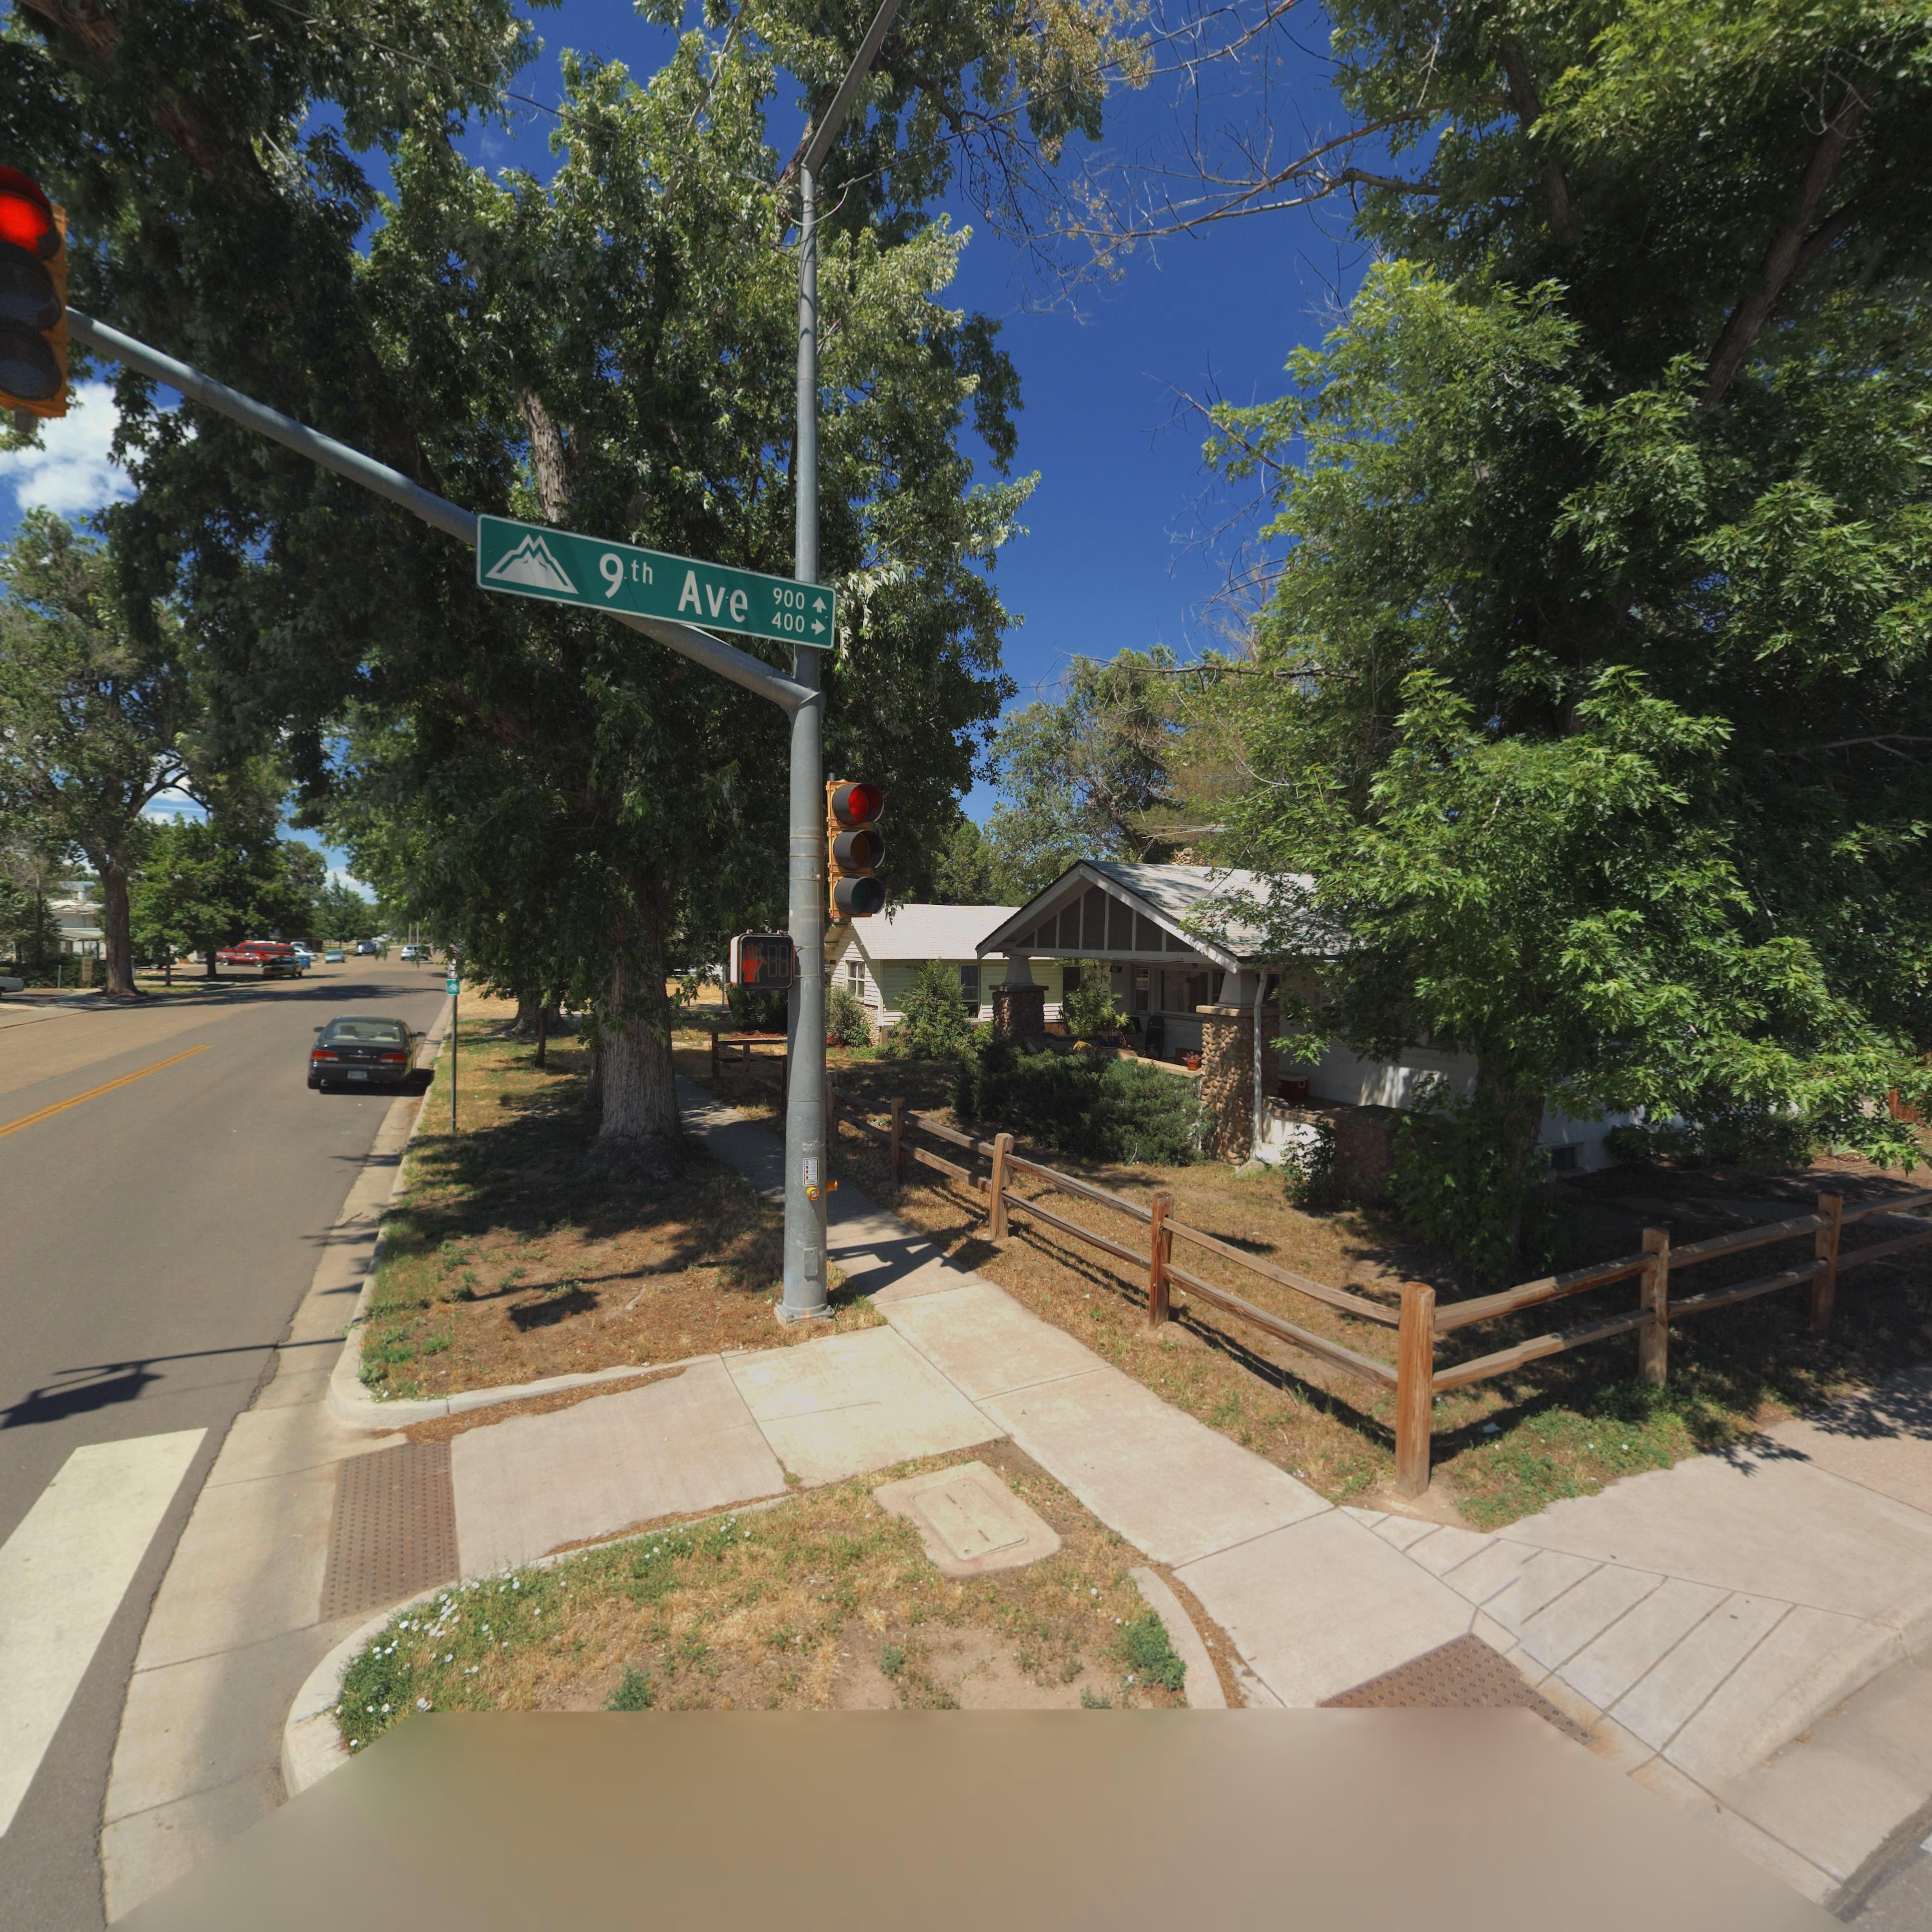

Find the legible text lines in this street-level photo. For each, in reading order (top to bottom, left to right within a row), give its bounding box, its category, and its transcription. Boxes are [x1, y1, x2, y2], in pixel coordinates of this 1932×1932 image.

[599, 551, 749, 623] StreetName: 9th Ave
[772, 586, 805, 610] StreetNumberRange: 900
[770, 610, 827, 636] StreetNumberRange: 400->